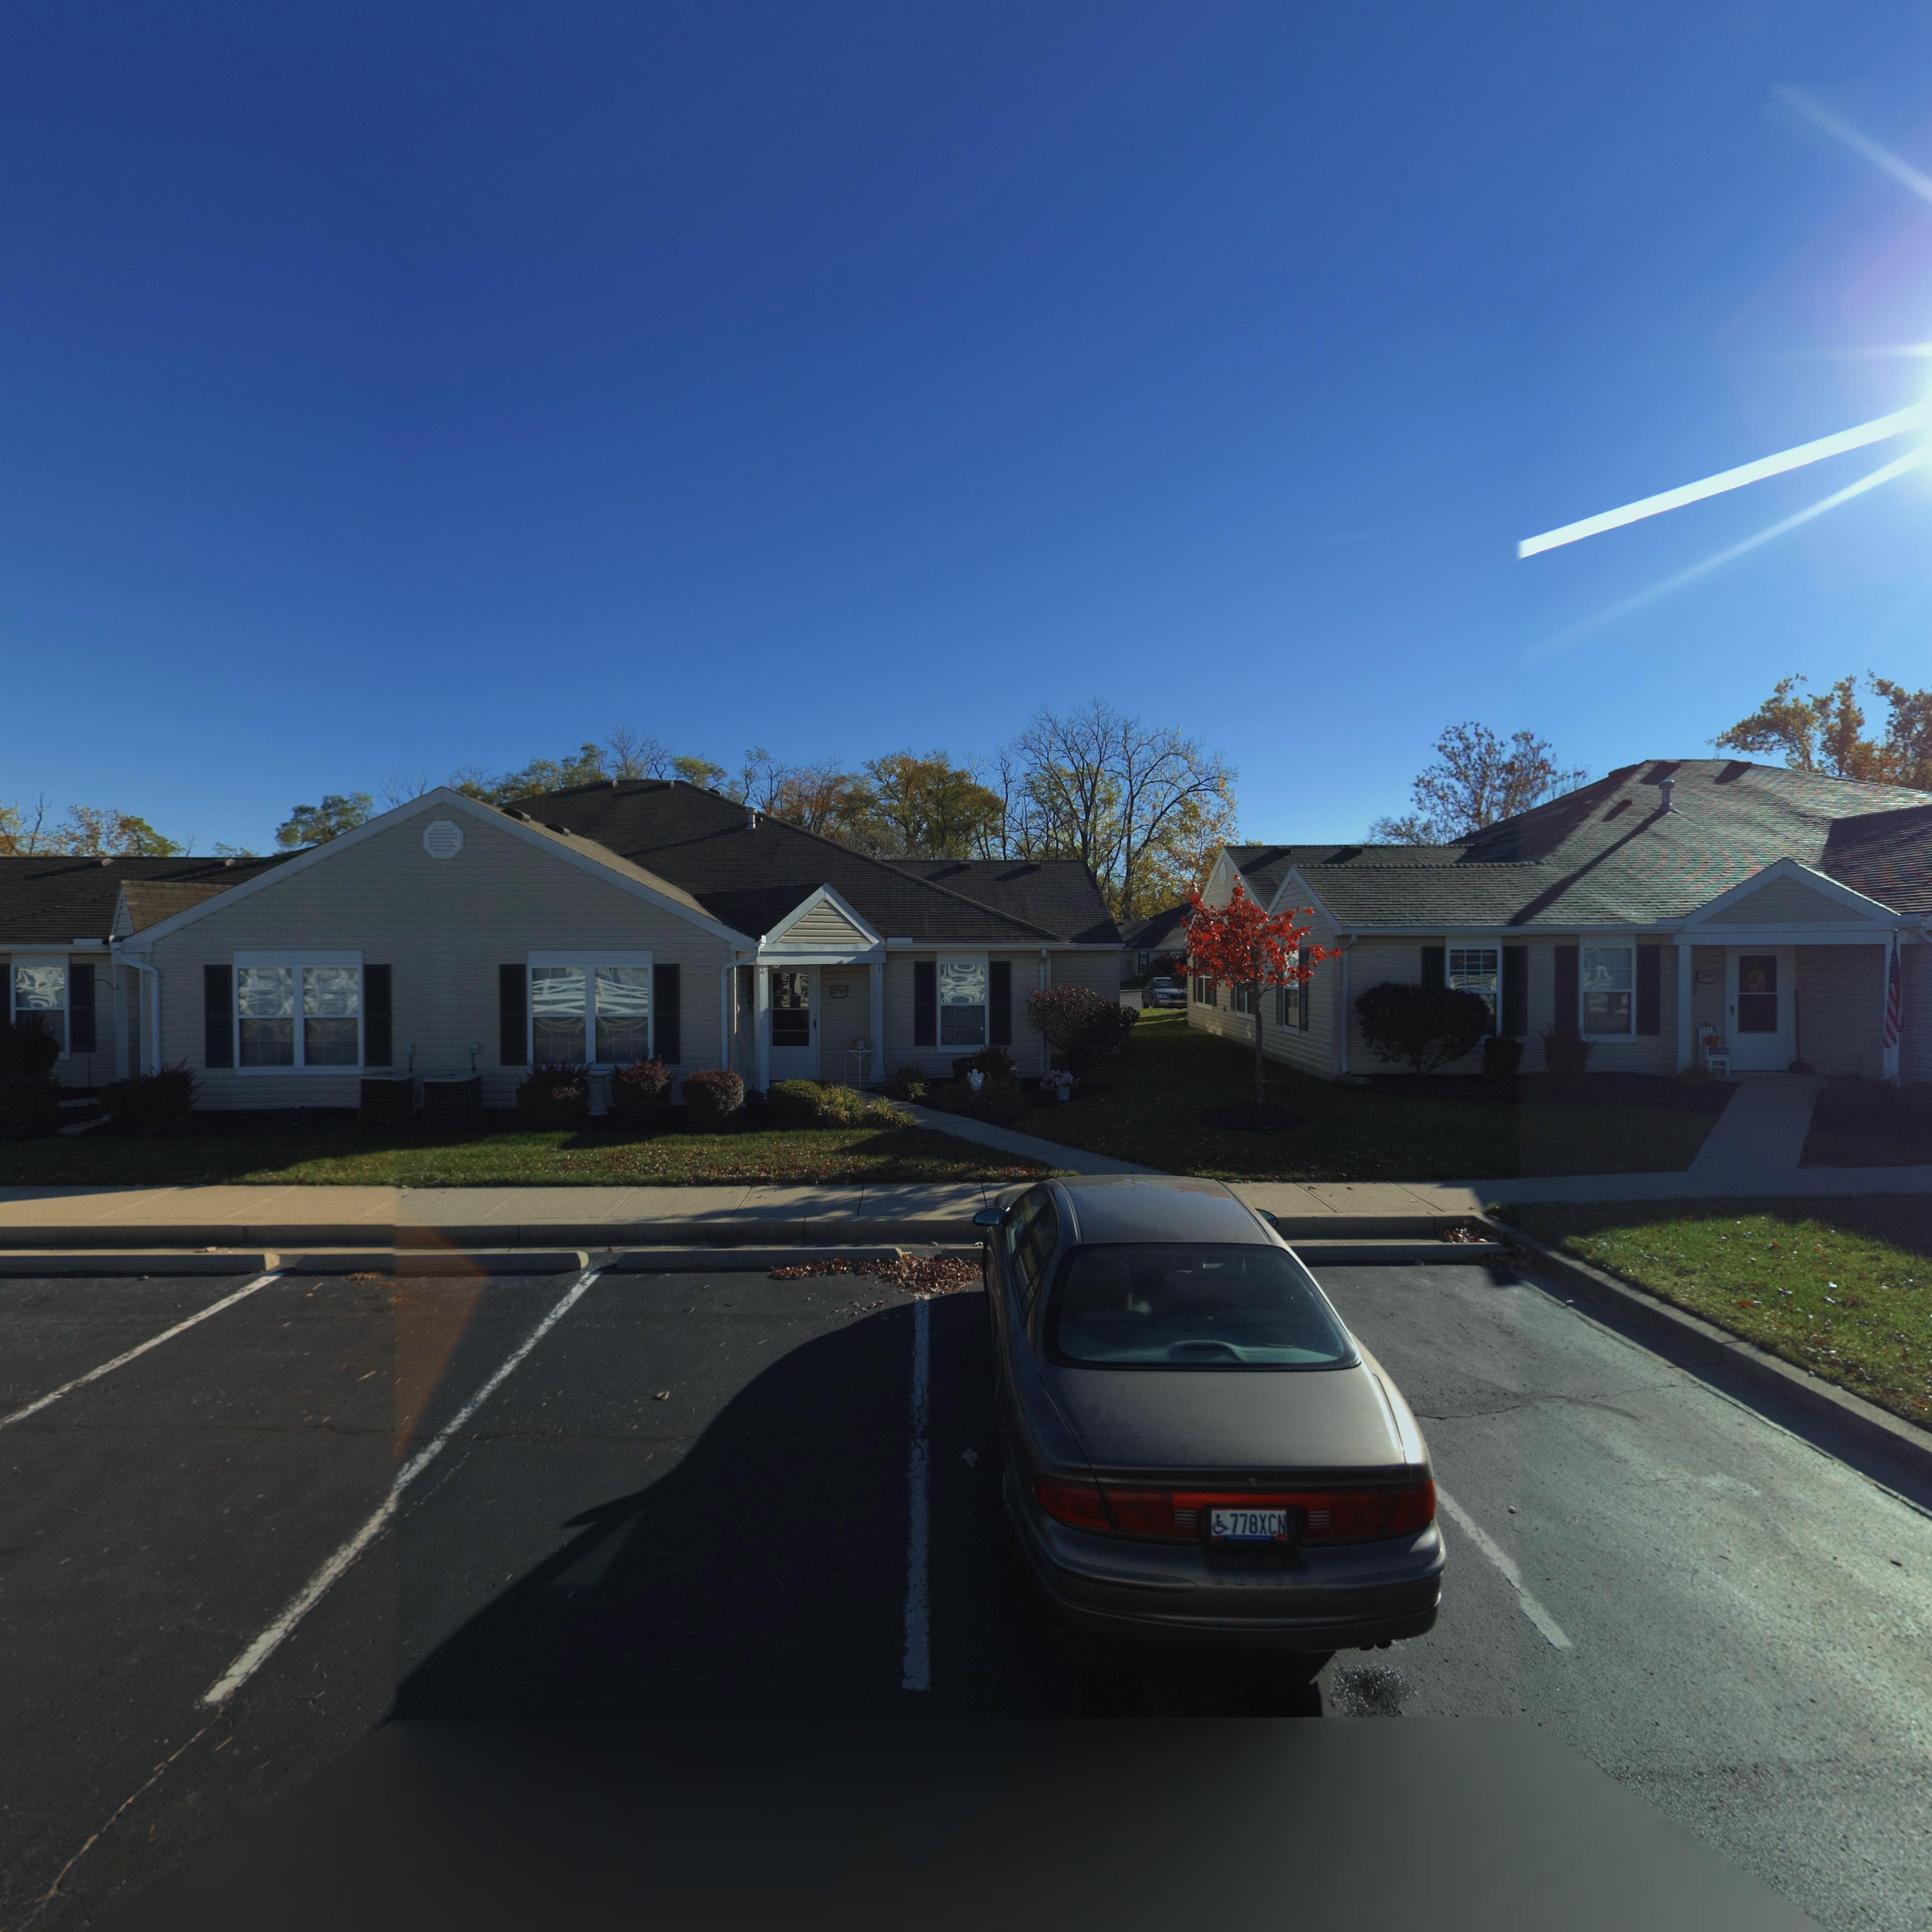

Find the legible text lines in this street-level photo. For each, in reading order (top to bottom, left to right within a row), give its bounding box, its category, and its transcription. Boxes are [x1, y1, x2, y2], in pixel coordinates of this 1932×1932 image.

[831, 987, 847, 995] StreetNumber: 5274-D